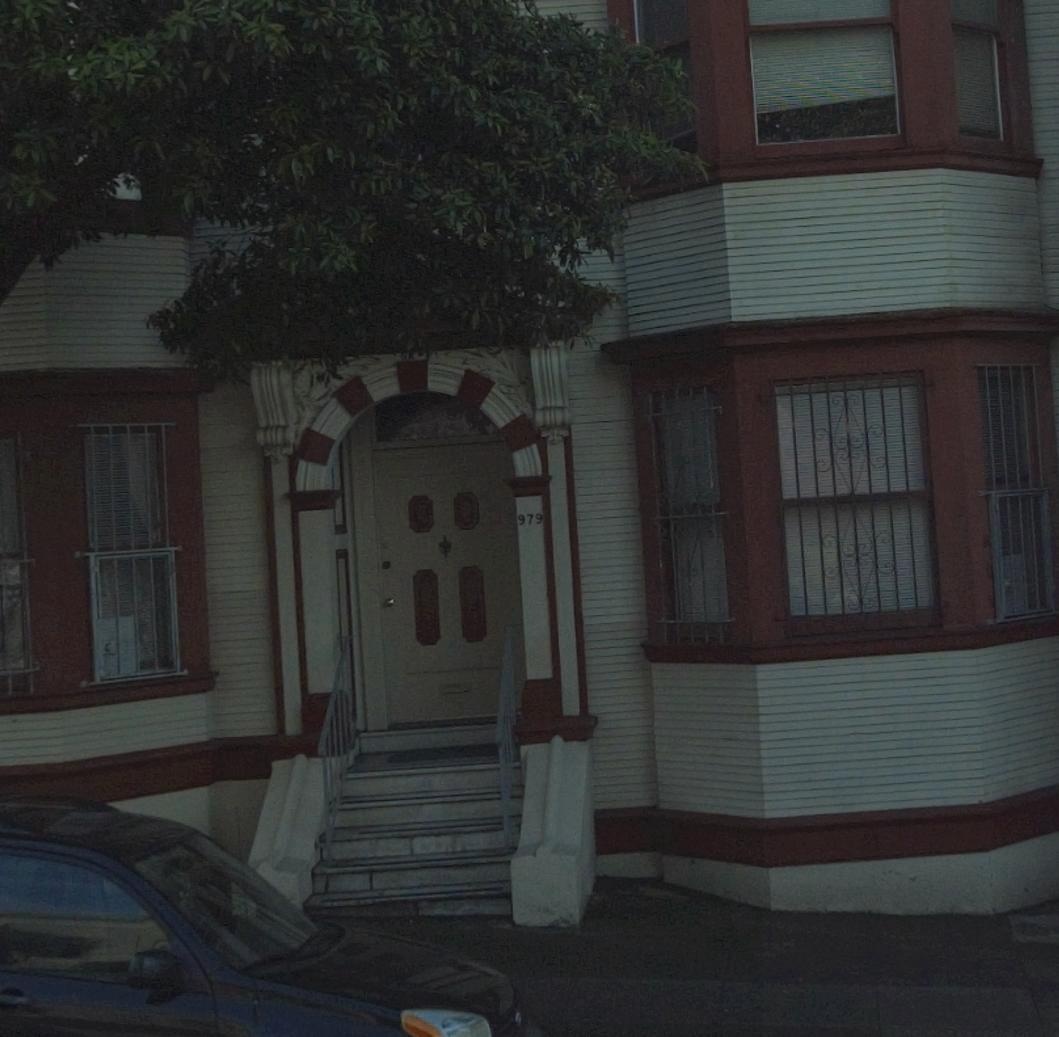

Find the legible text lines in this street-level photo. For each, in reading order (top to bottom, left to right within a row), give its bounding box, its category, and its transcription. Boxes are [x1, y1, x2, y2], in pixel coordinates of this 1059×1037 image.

[516, 510, 546, 529] StreetNumber: 979